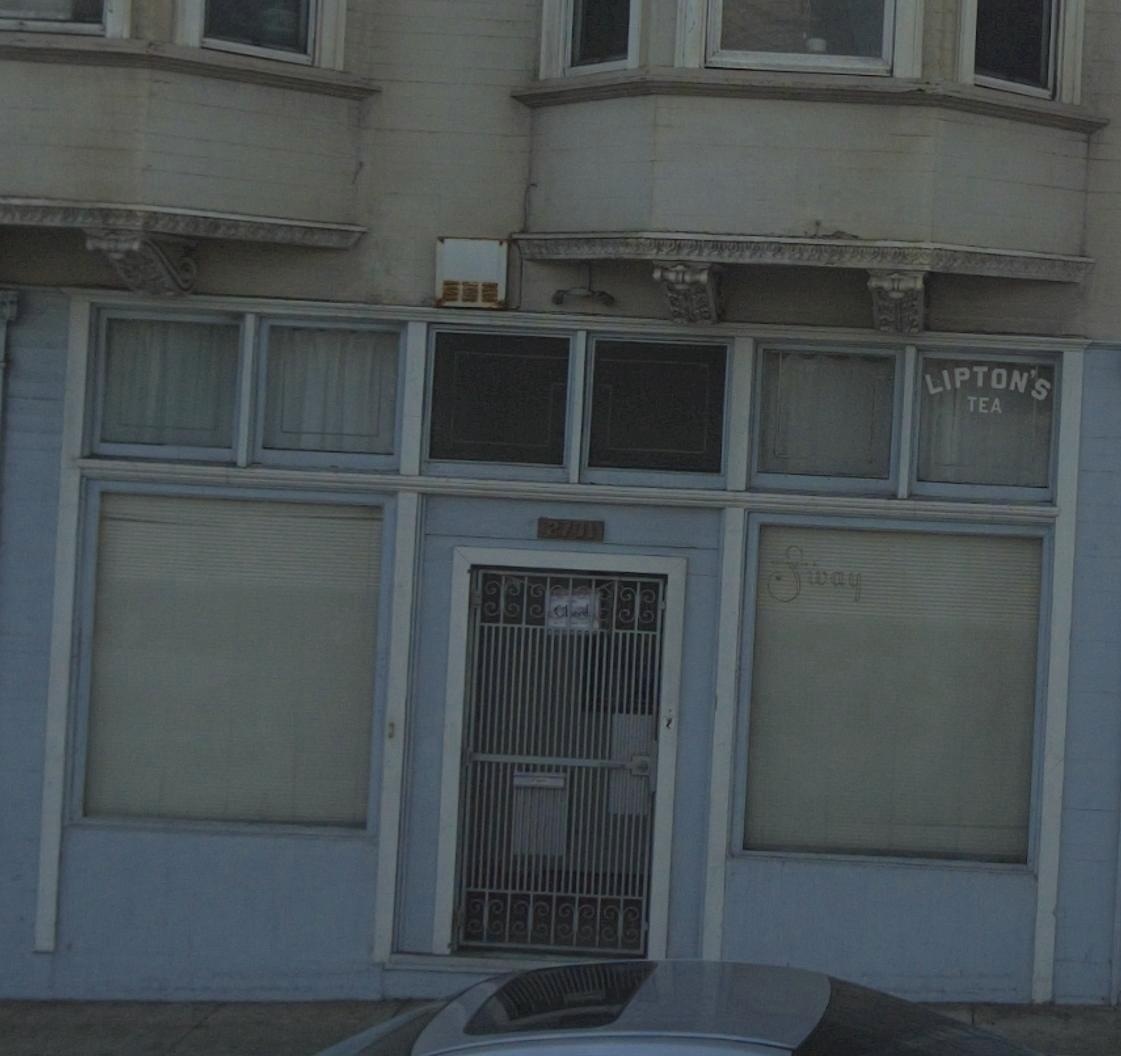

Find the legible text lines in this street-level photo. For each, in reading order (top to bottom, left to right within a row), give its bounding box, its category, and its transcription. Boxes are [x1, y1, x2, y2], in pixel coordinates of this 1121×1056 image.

[918, 361, 1054, 404] None: LIPTON'S
[964, 392, 1008, 417] None: TEA
[542, 517, 597, 542] StreetNumber: 2791
[763, 539, 865, 606] None: Sway